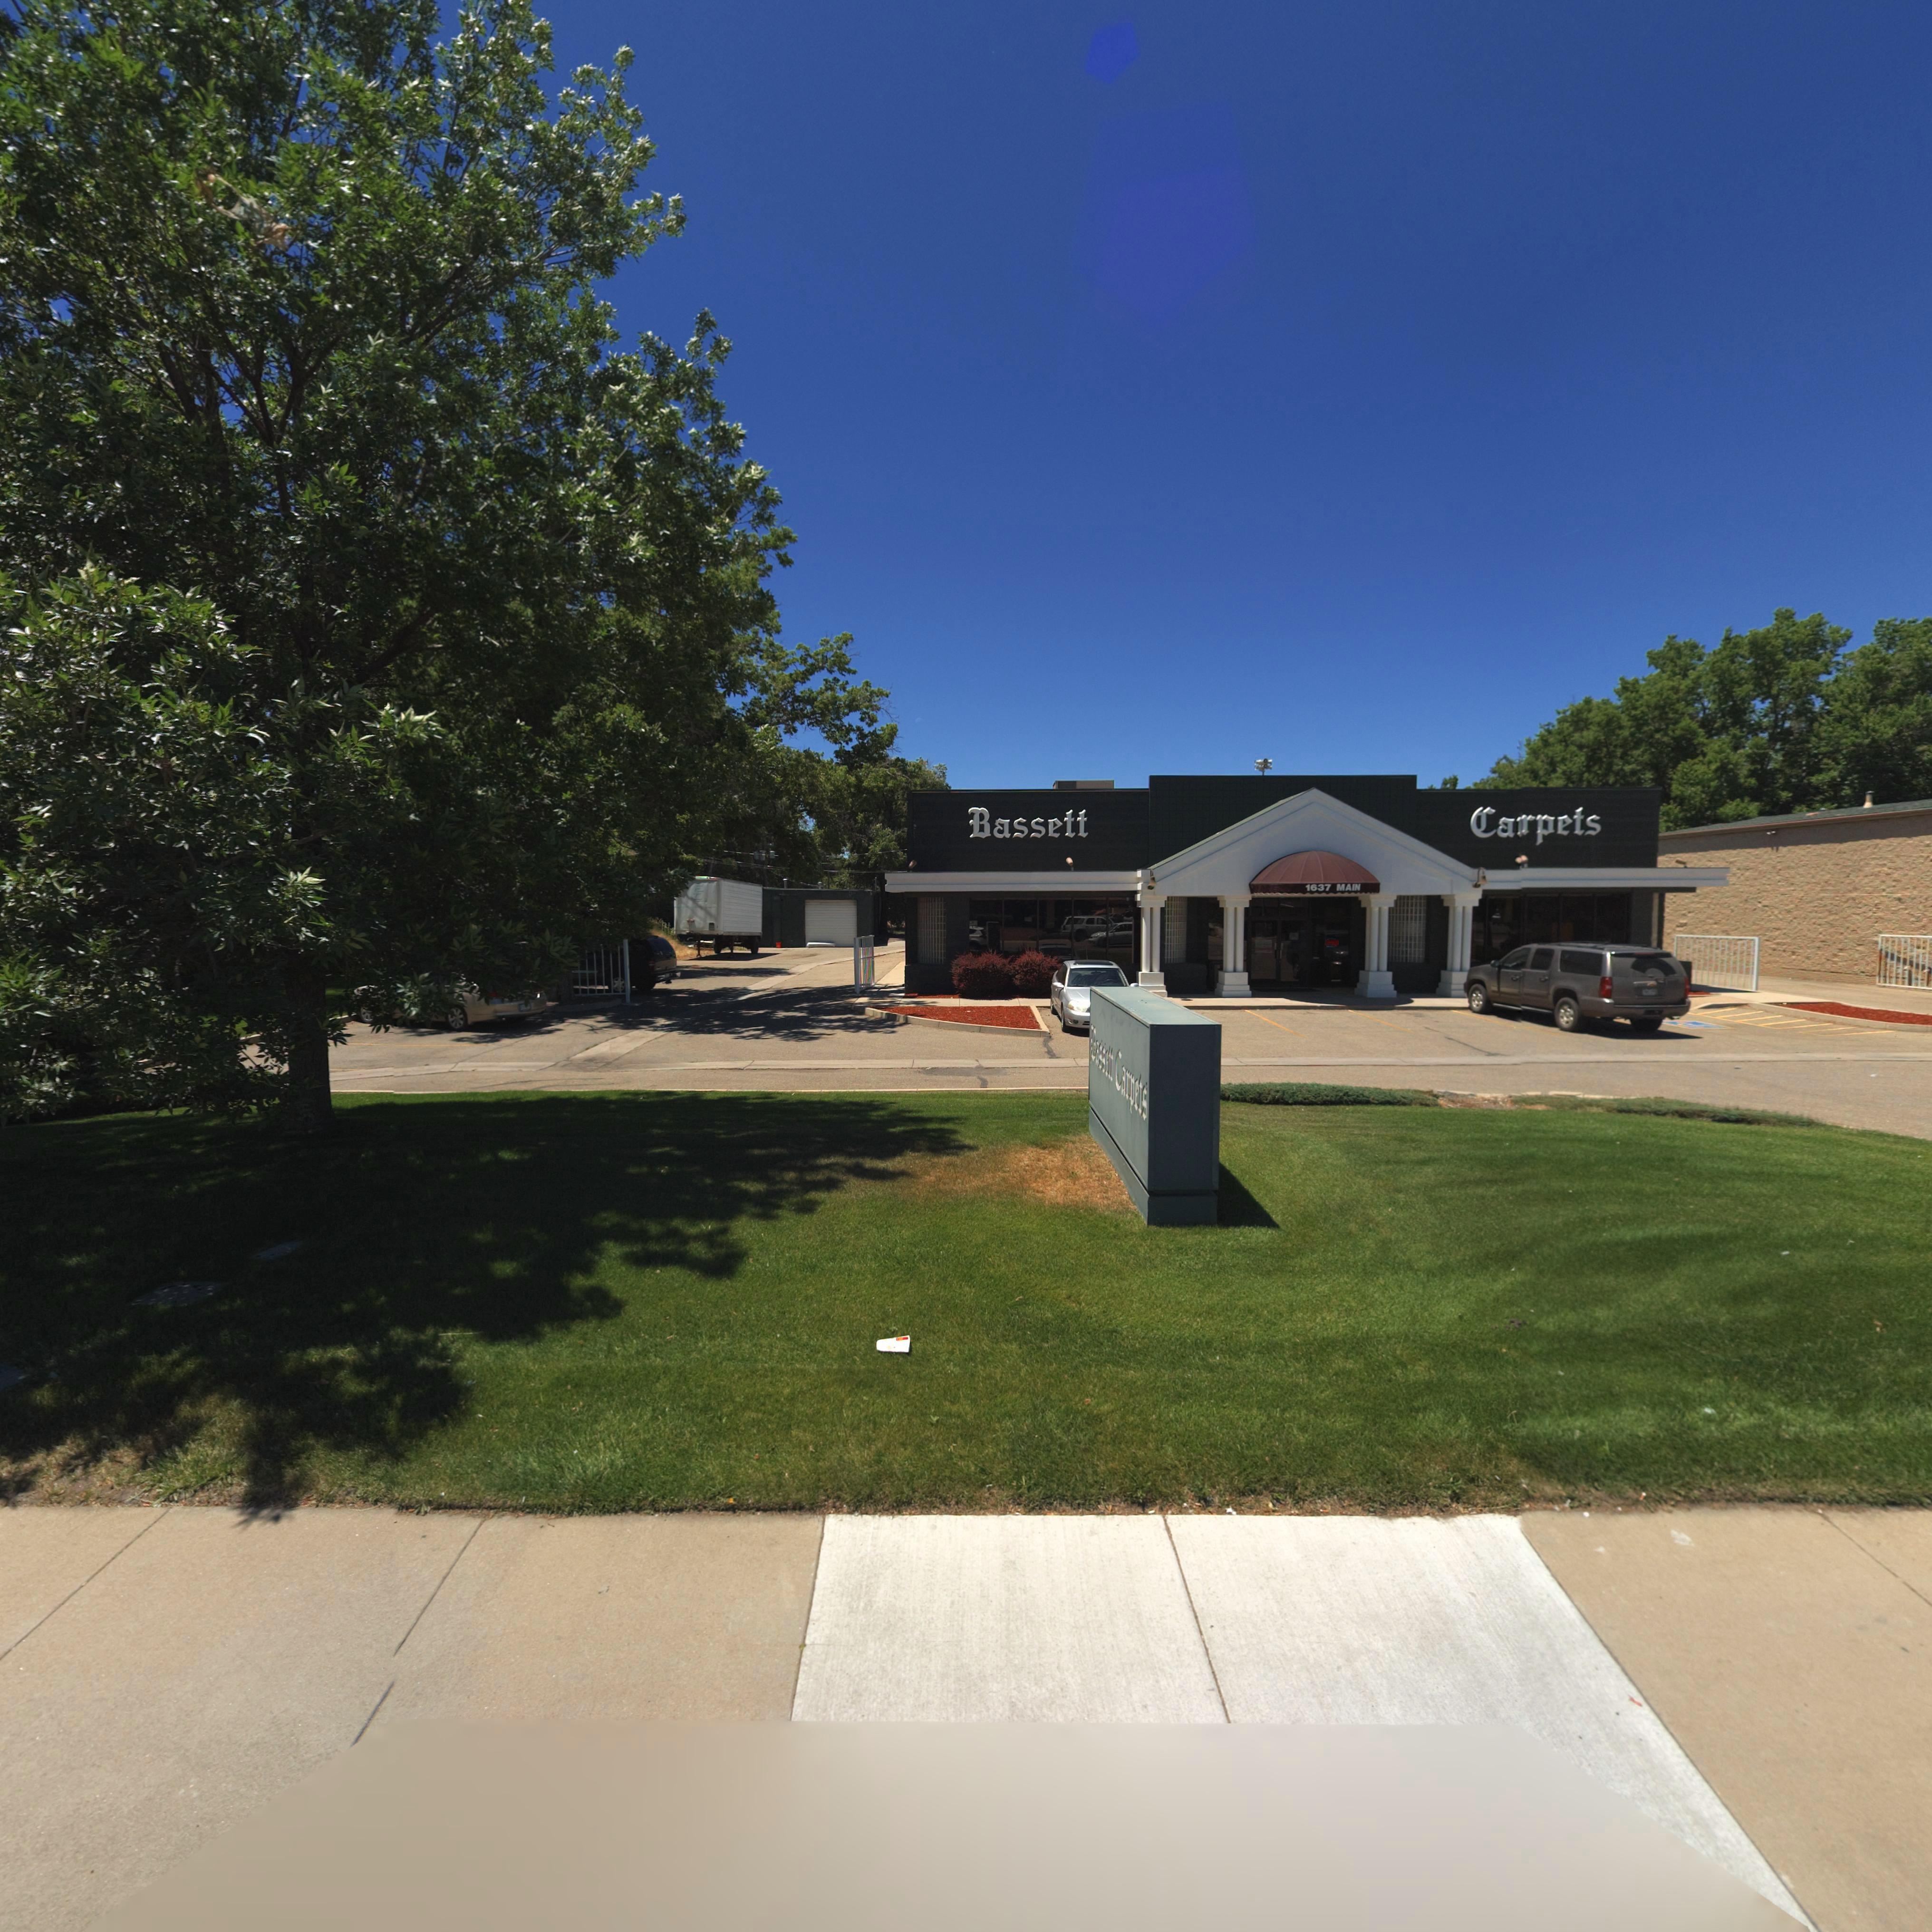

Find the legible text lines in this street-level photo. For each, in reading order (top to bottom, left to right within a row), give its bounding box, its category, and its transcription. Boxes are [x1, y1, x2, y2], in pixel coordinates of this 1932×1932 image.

[966, 807, 1092, 839] BusinessName: Bassett
[1470, 805, 1604, 846] BusinessName: Carpets
[1304, 883, 1332, 892] StreetNumber: 1637
[1335, 883, 1361, 891] StreetName: MAIN
[1089, 1023, 1149, 1122] BusinessName: **ssett Carpets